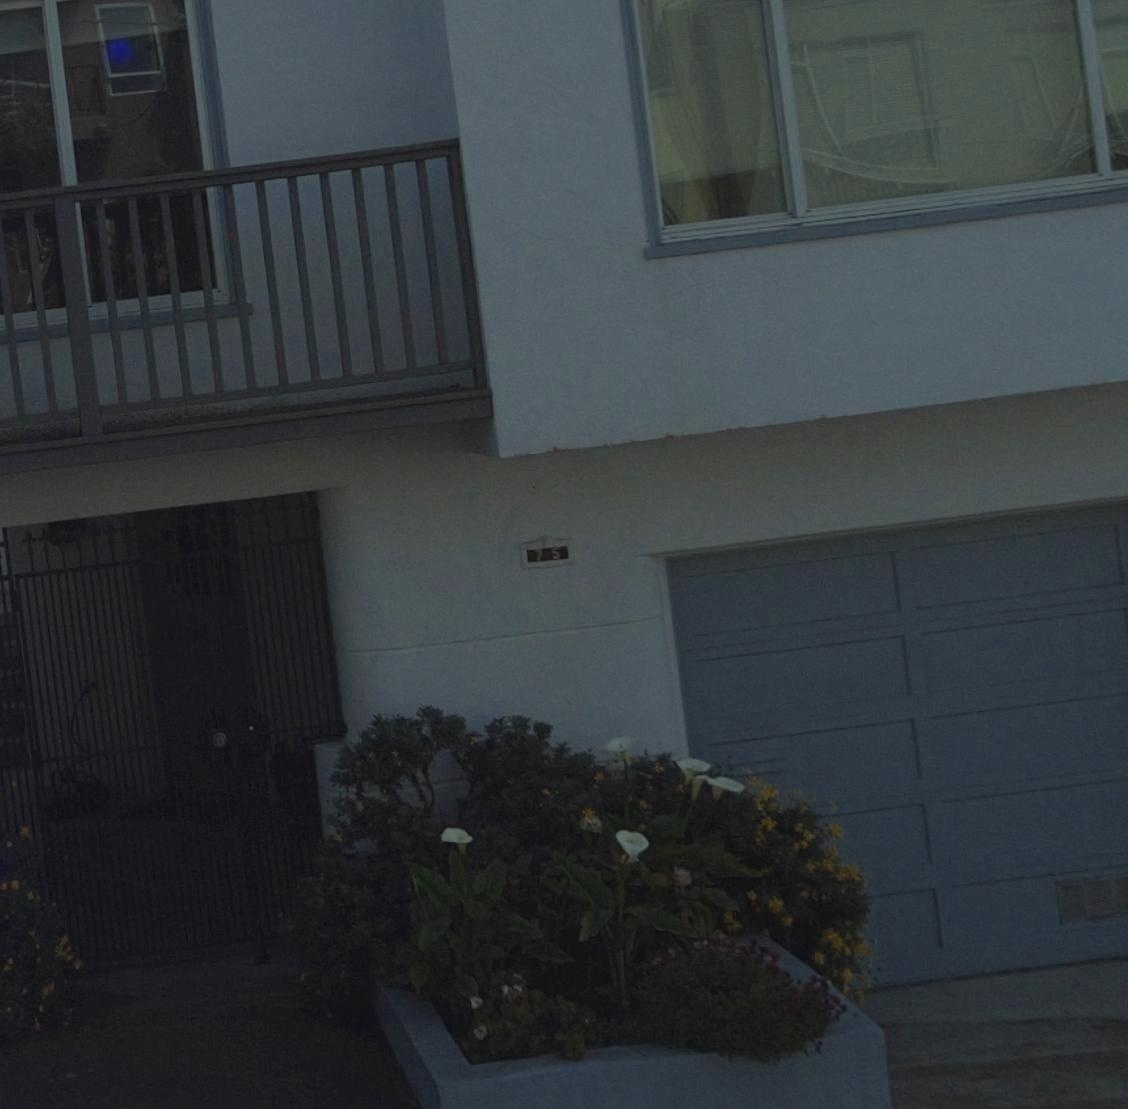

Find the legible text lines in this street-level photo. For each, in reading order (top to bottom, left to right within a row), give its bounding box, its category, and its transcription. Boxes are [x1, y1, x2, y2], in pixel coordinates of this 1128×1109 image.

[532, 546, 562, 562] StreetNumber: 75